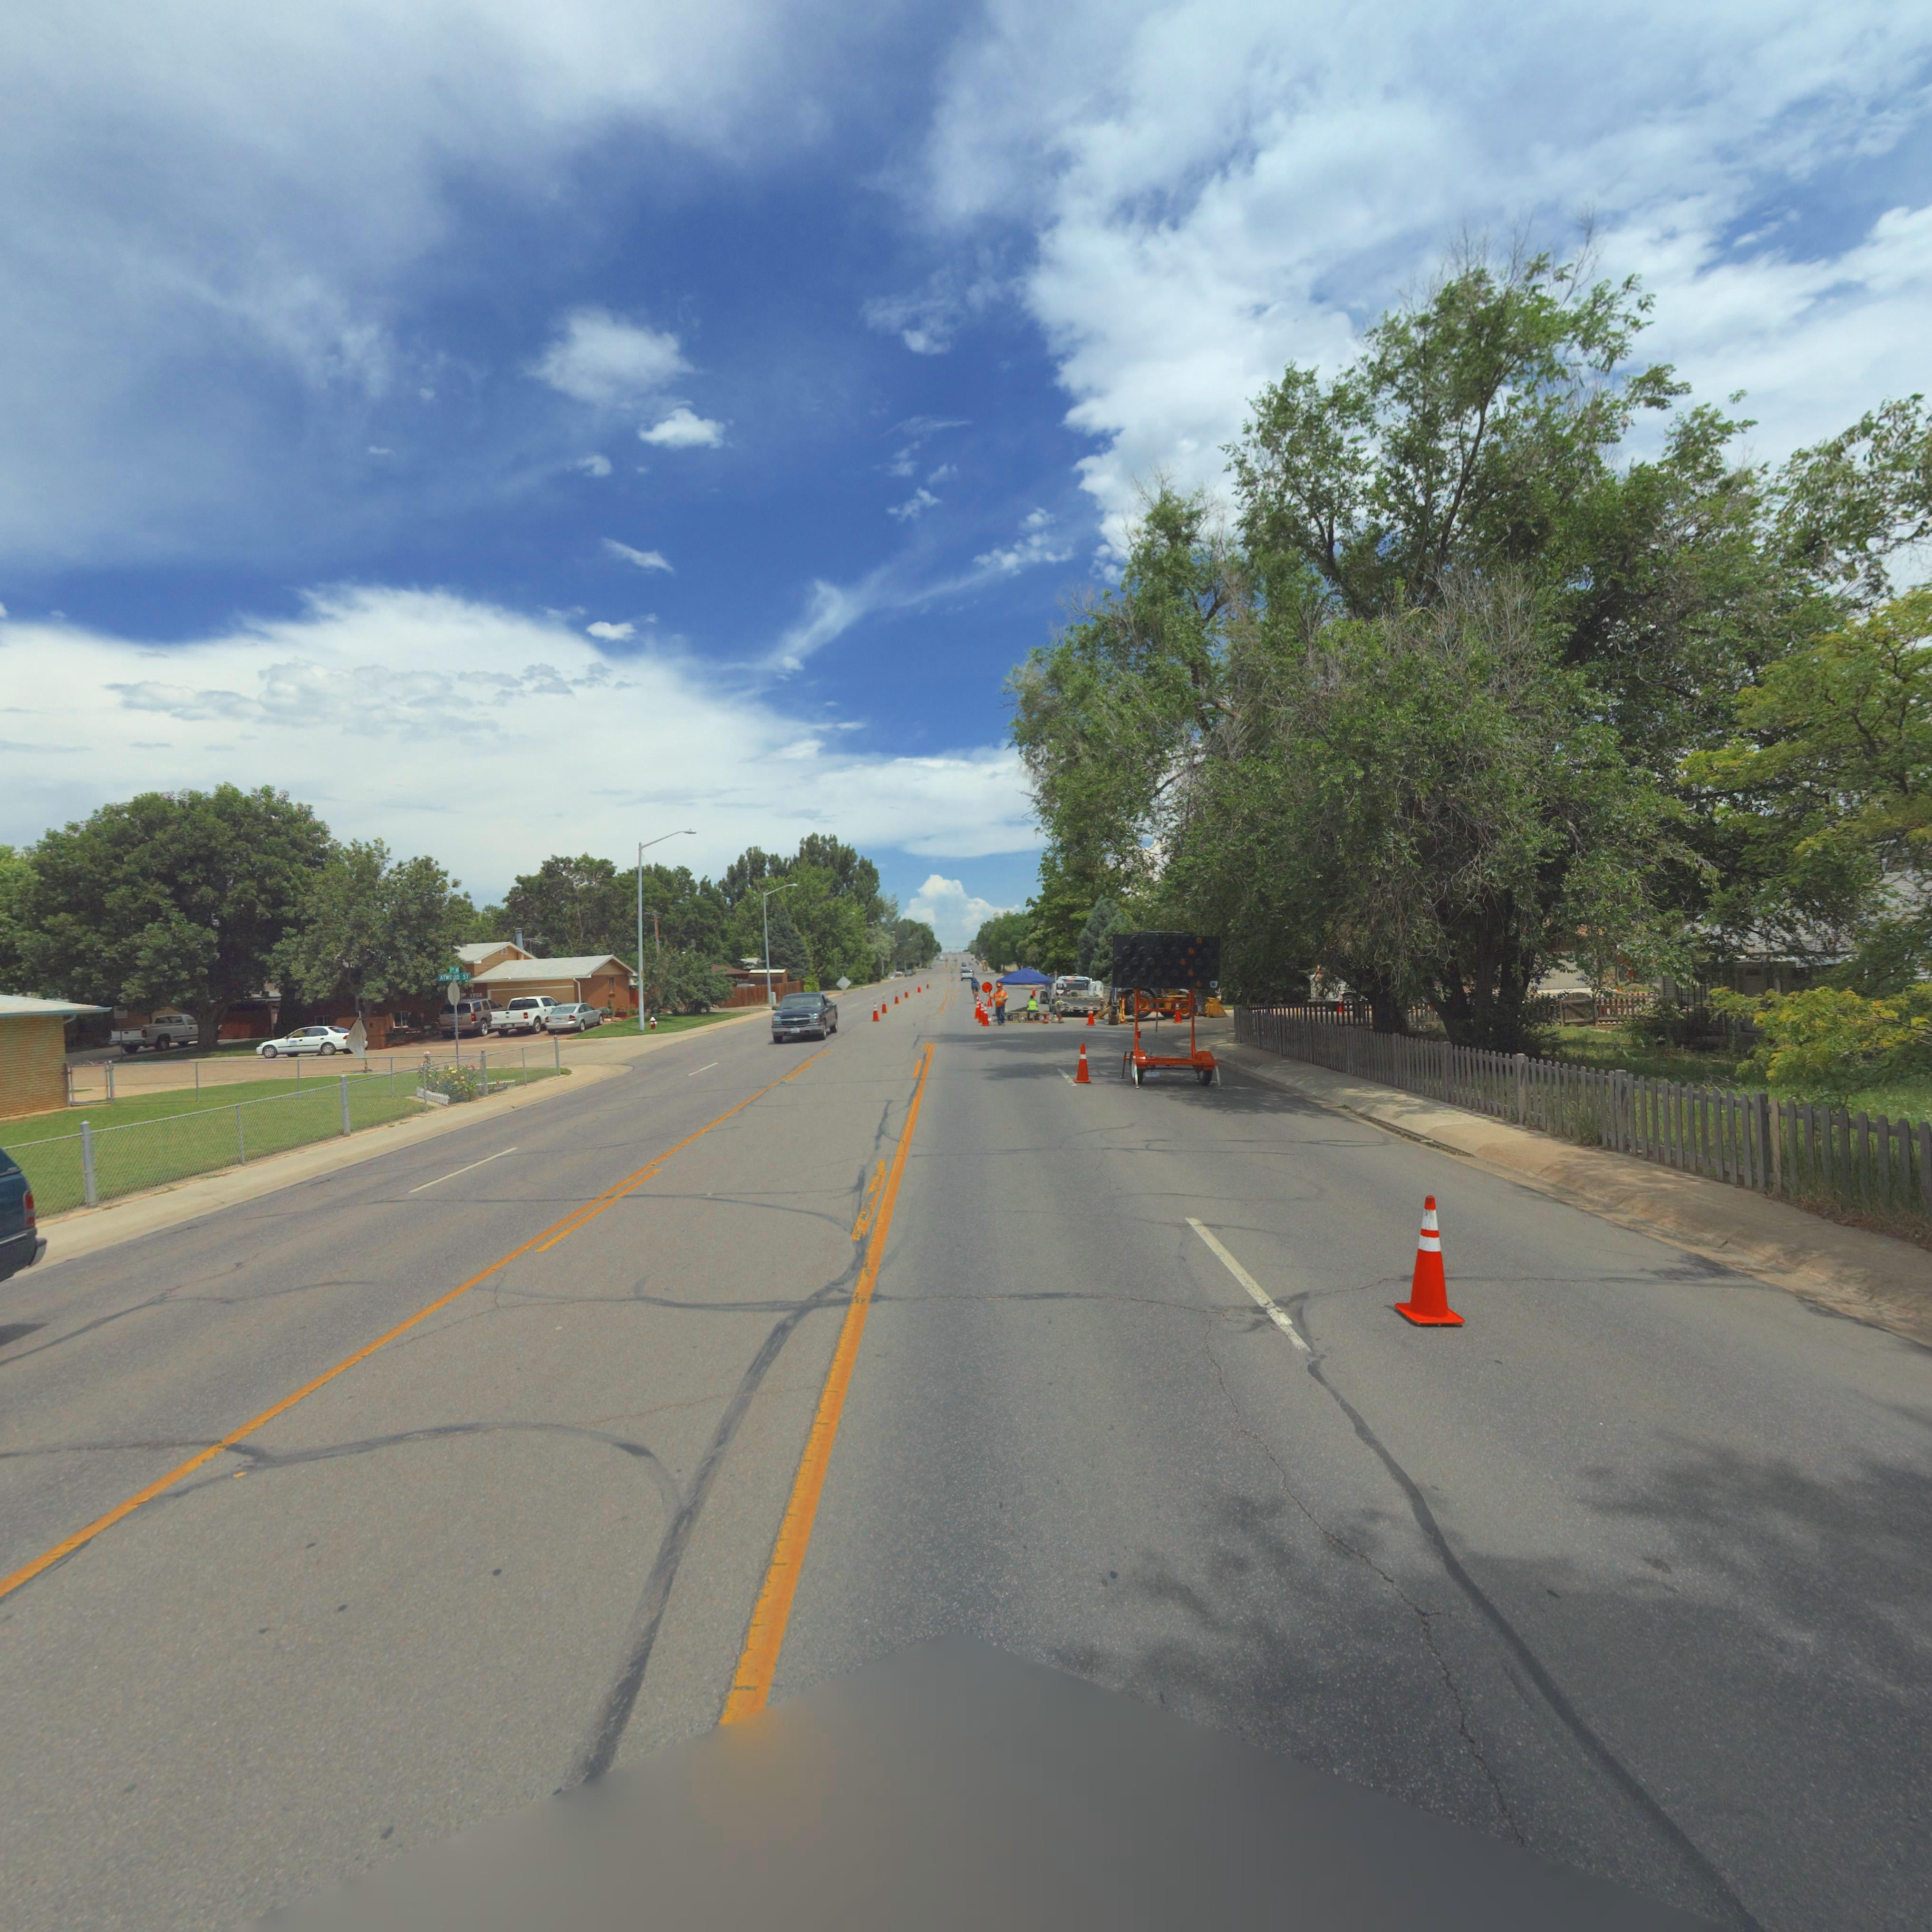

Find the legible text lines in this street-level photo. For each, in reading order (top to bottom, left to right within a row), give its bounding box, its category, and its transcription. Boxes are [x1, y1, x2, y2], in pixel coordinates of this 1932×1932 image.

[439, 974, 469, 980] StreetName: ATWOOD ST
[469, 992, 483, 998] StreetNumber: 1702